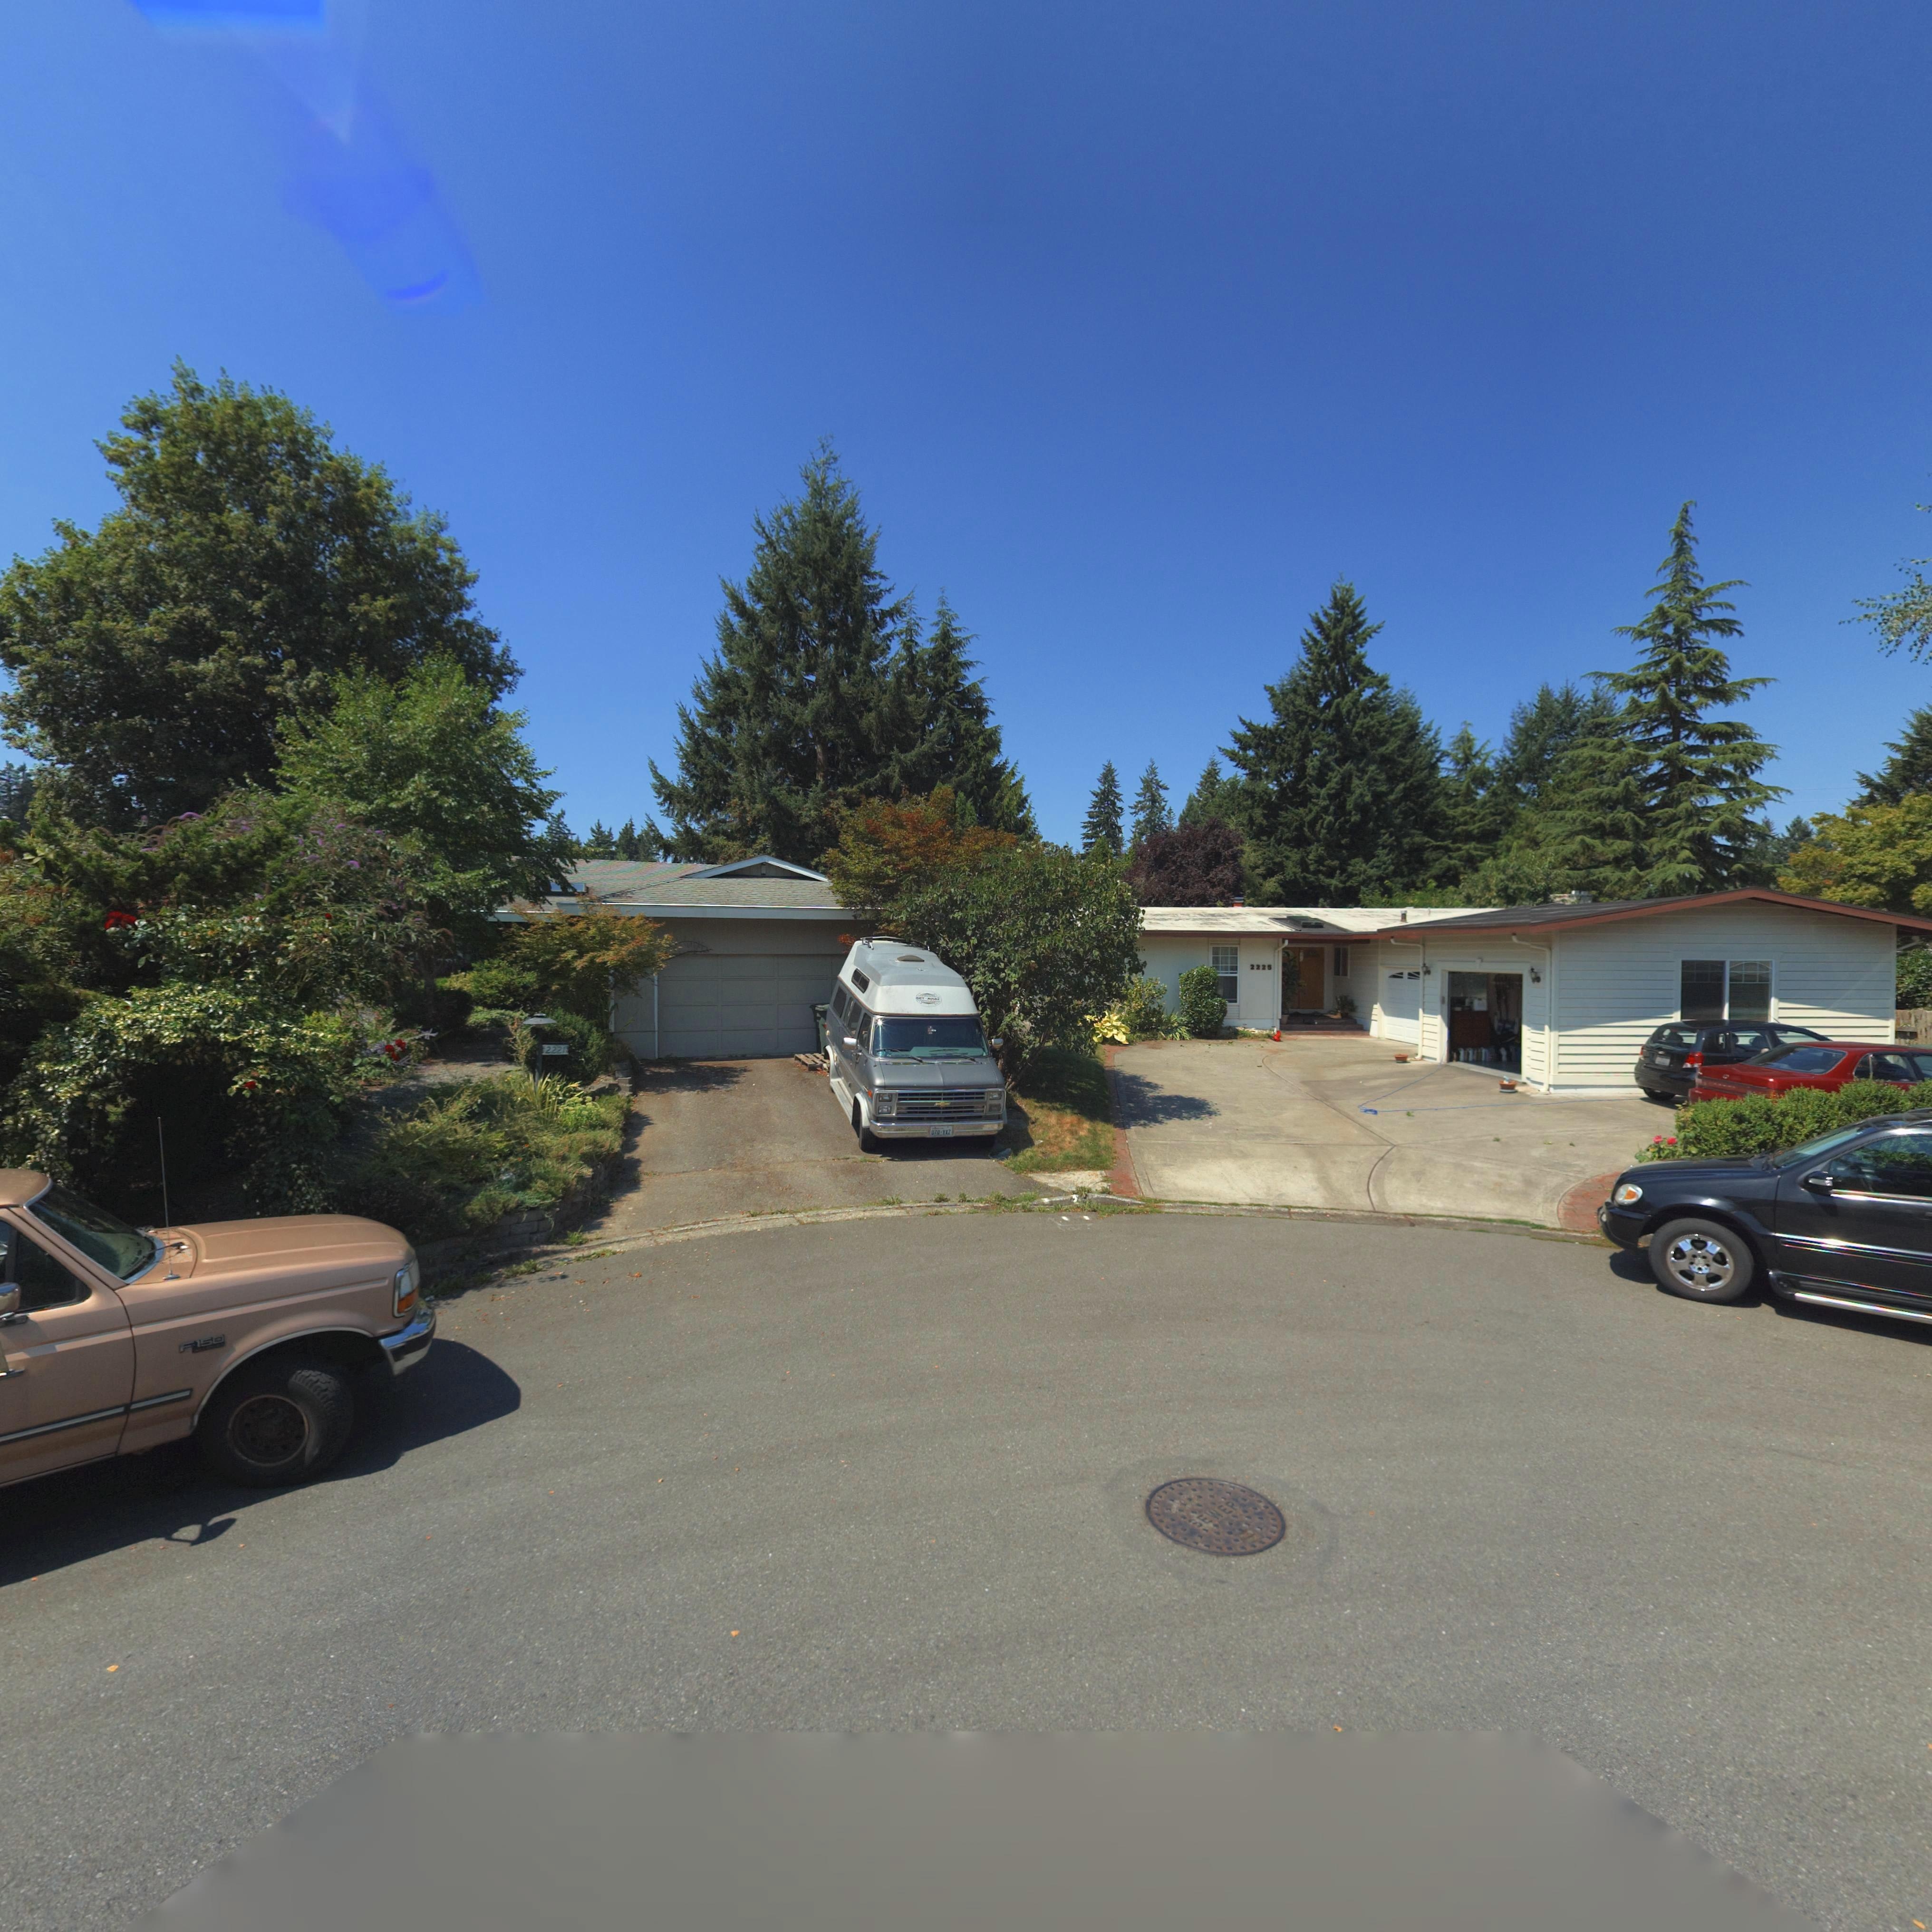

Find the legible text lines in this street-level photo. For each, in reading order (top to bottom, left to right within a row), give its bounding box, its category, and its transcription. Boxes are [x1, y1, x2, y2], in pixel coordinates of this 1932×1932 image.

[1249, 965, 1273, 970] StreetNumber: 2225